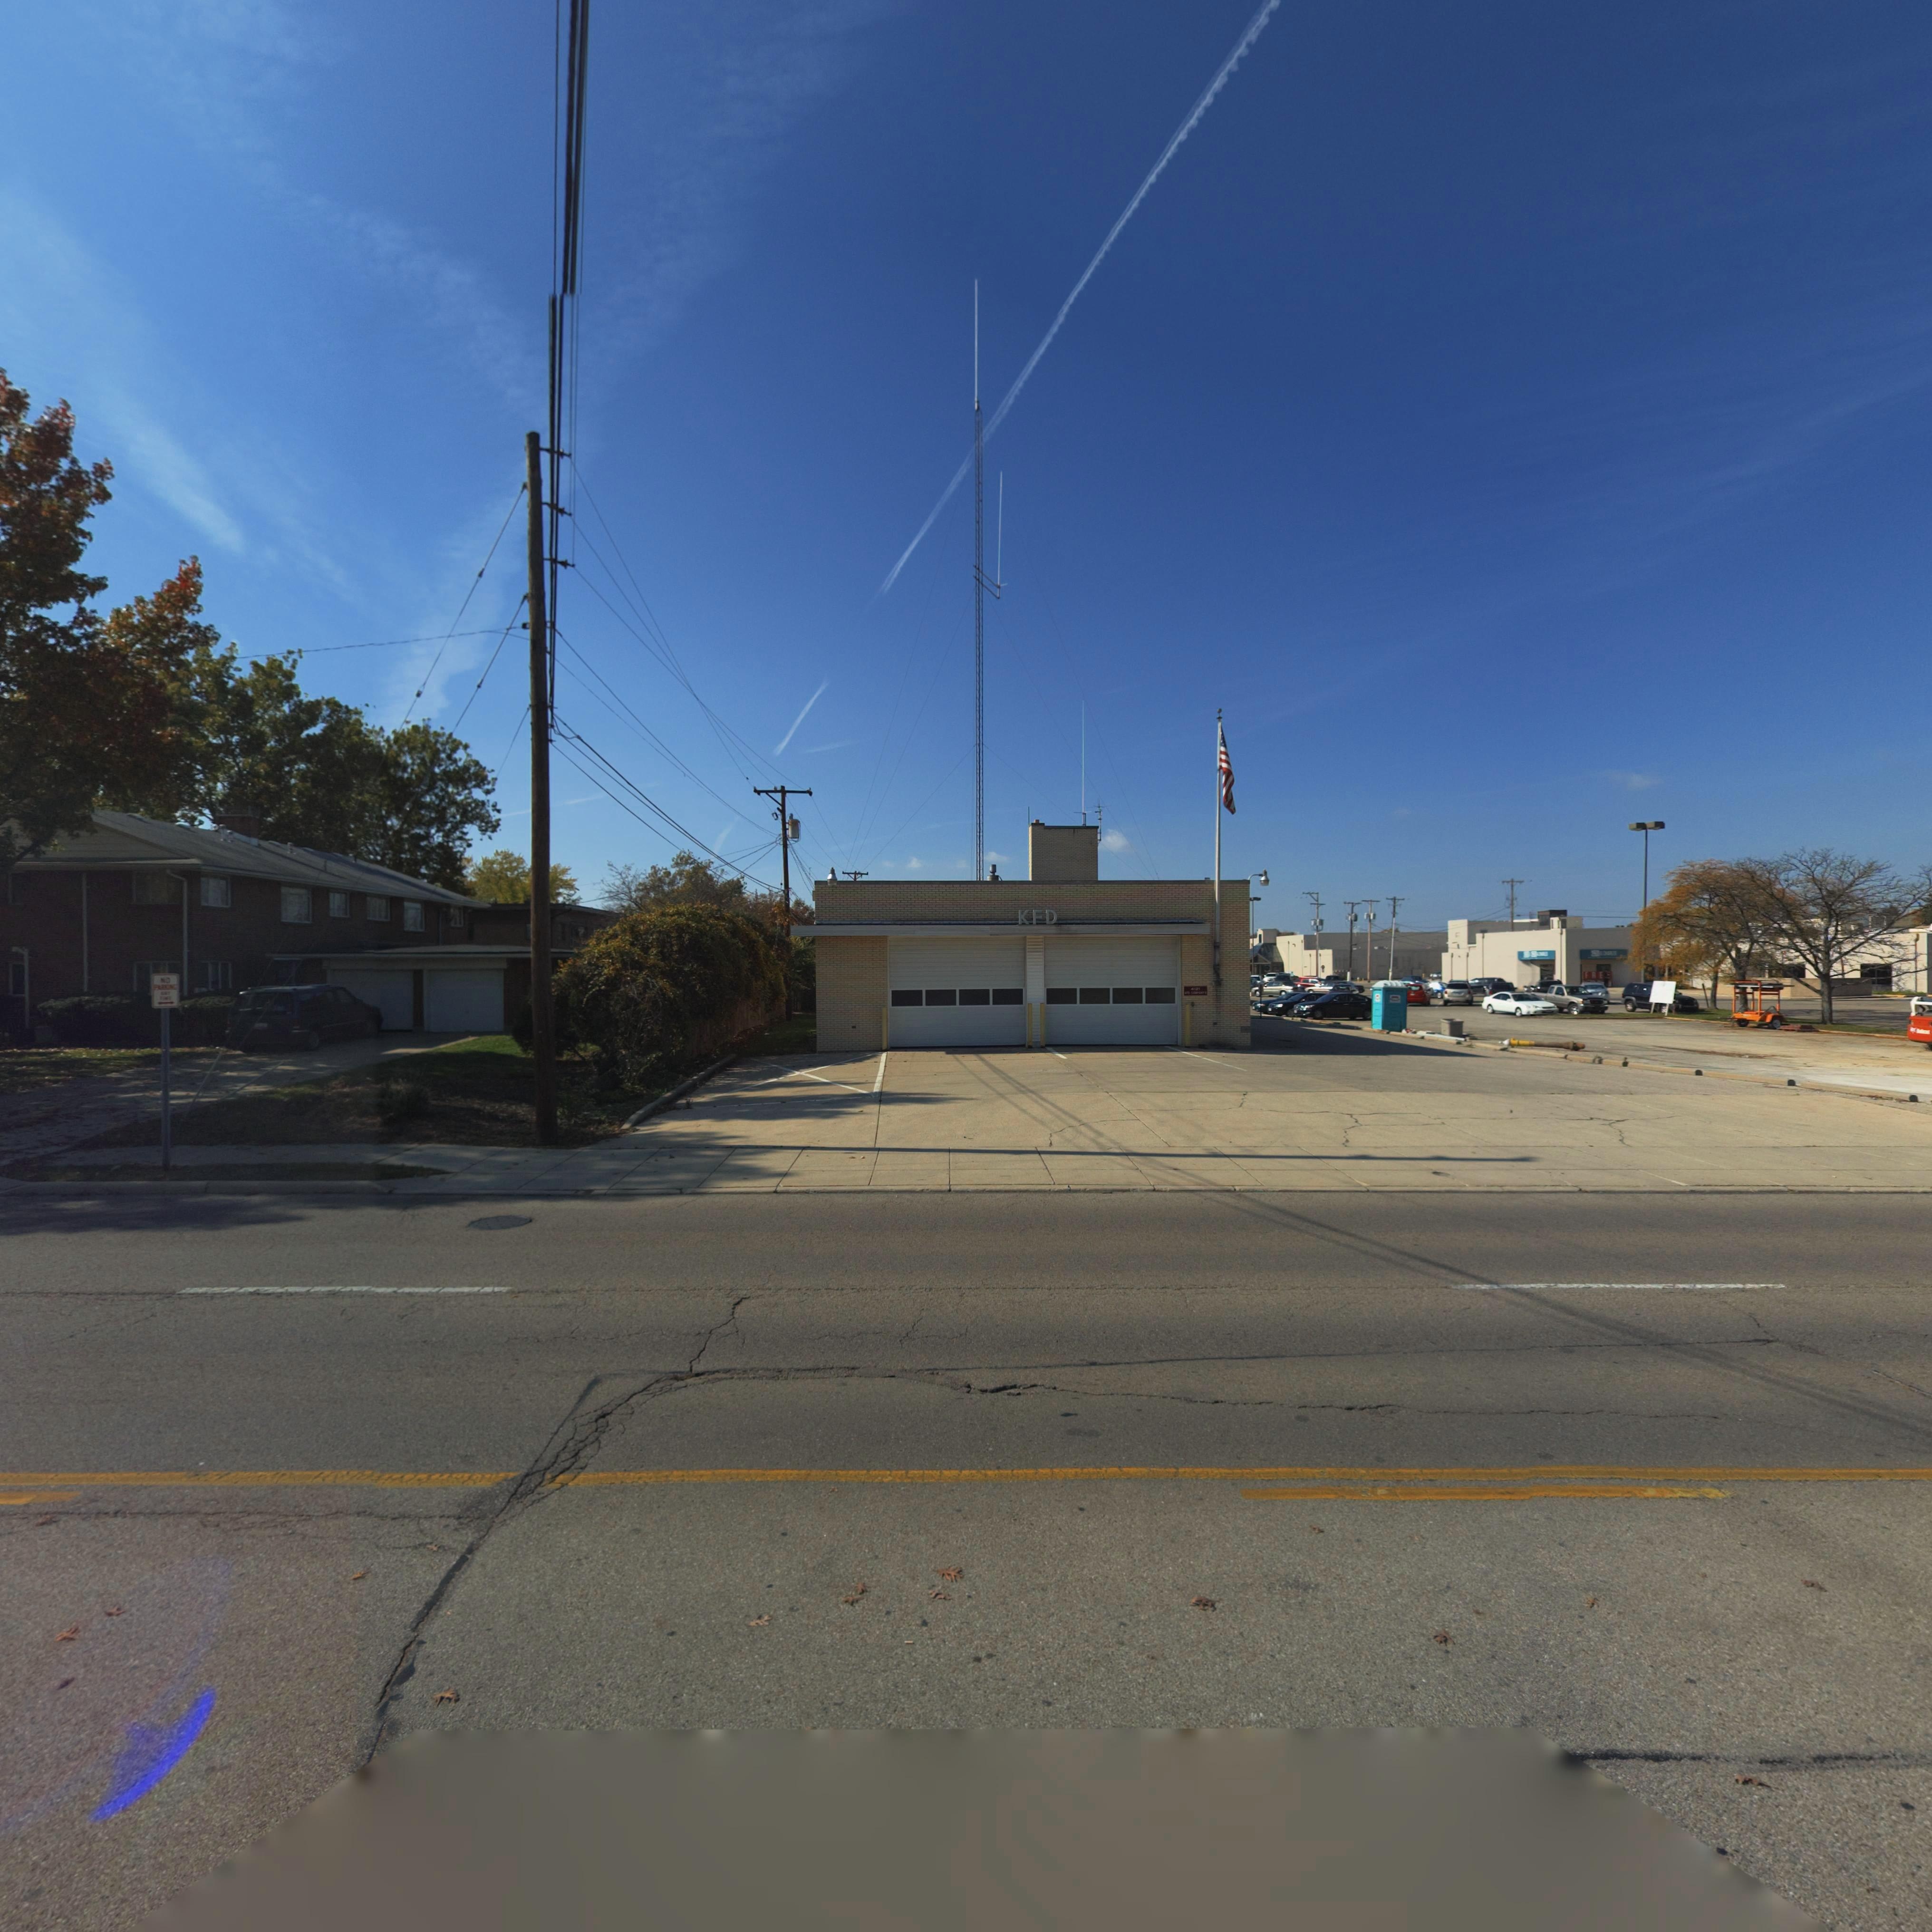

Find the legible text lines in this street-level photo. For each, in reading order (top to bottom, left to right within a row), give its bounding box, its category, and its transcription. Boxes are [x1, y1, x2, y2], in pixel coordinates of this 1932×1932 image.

[1018, 909, 1057, 925] None: KFD
[1584, 971, 1604, 979] None: FRE
[160, 977, 171, 984] None: NO
[154, 983, 177, 990] None: PARKING